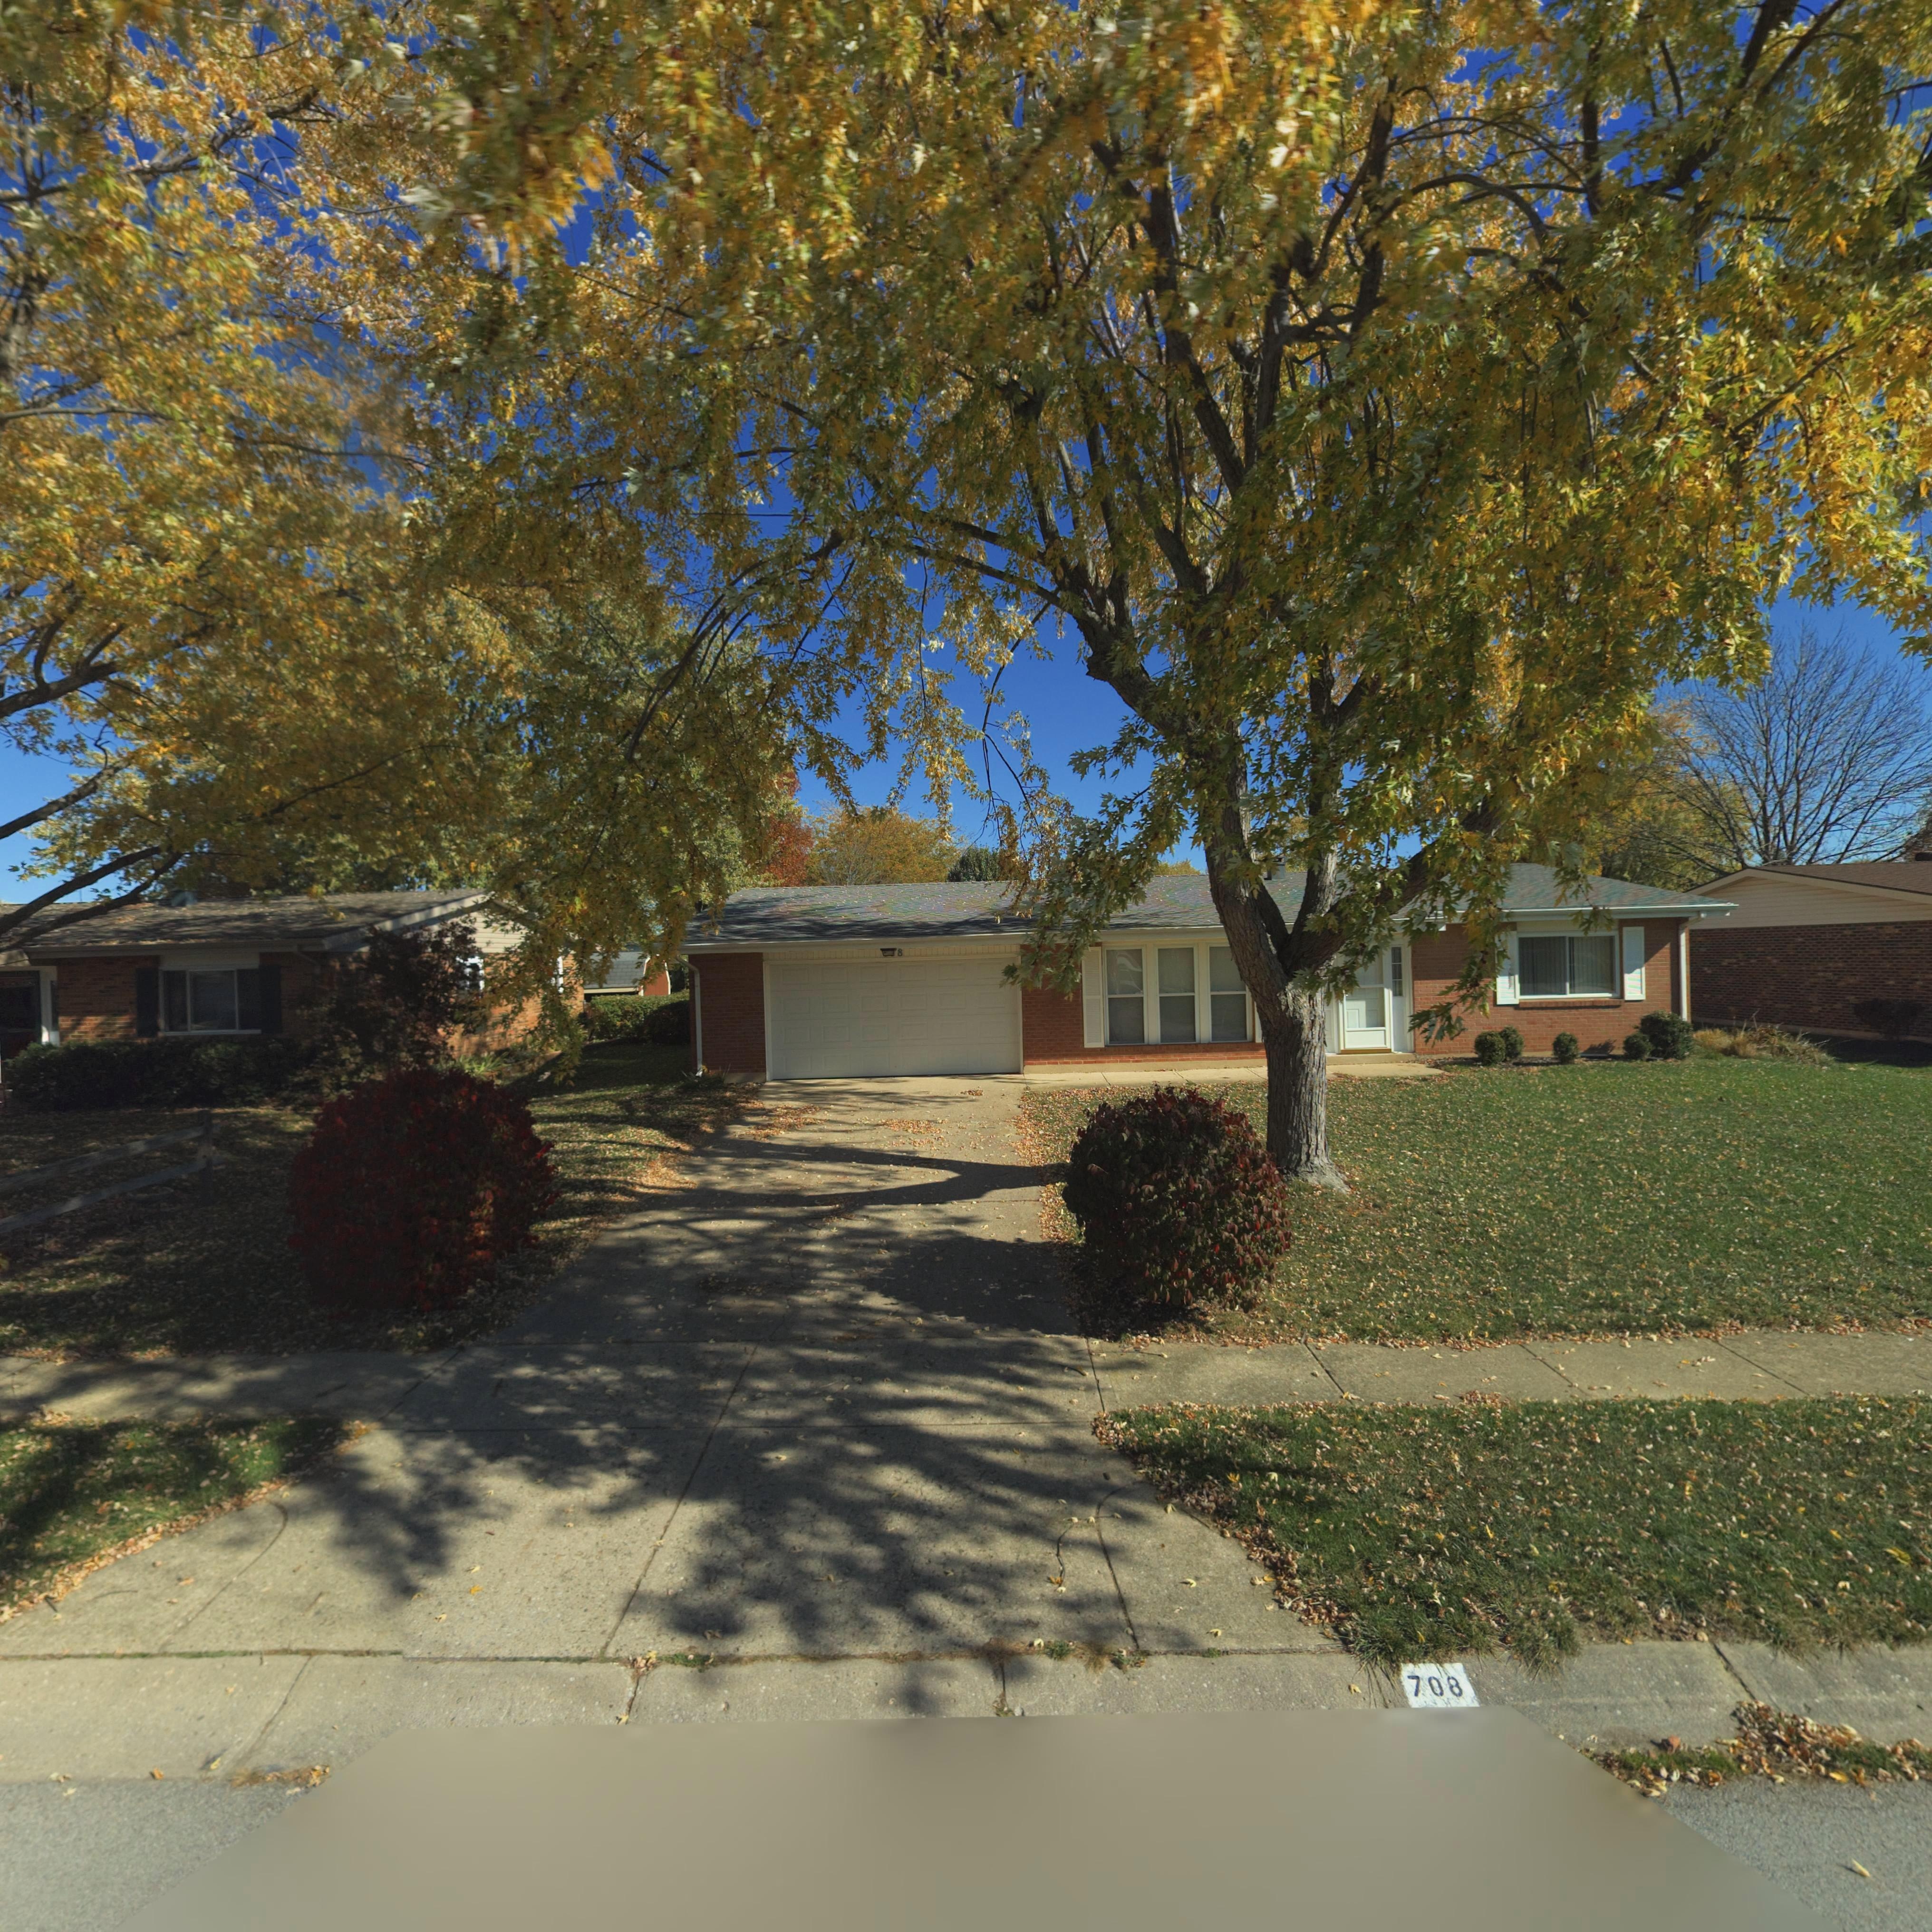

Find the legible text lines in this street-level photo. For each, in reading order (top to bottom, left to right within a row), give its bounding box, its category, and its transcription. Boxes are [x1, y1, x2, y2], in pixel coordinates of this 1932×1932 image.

[897, 947, 903, 957] StreetNumber: 8
[1405, 1674, 1465, 1699] StreetNumber: 708